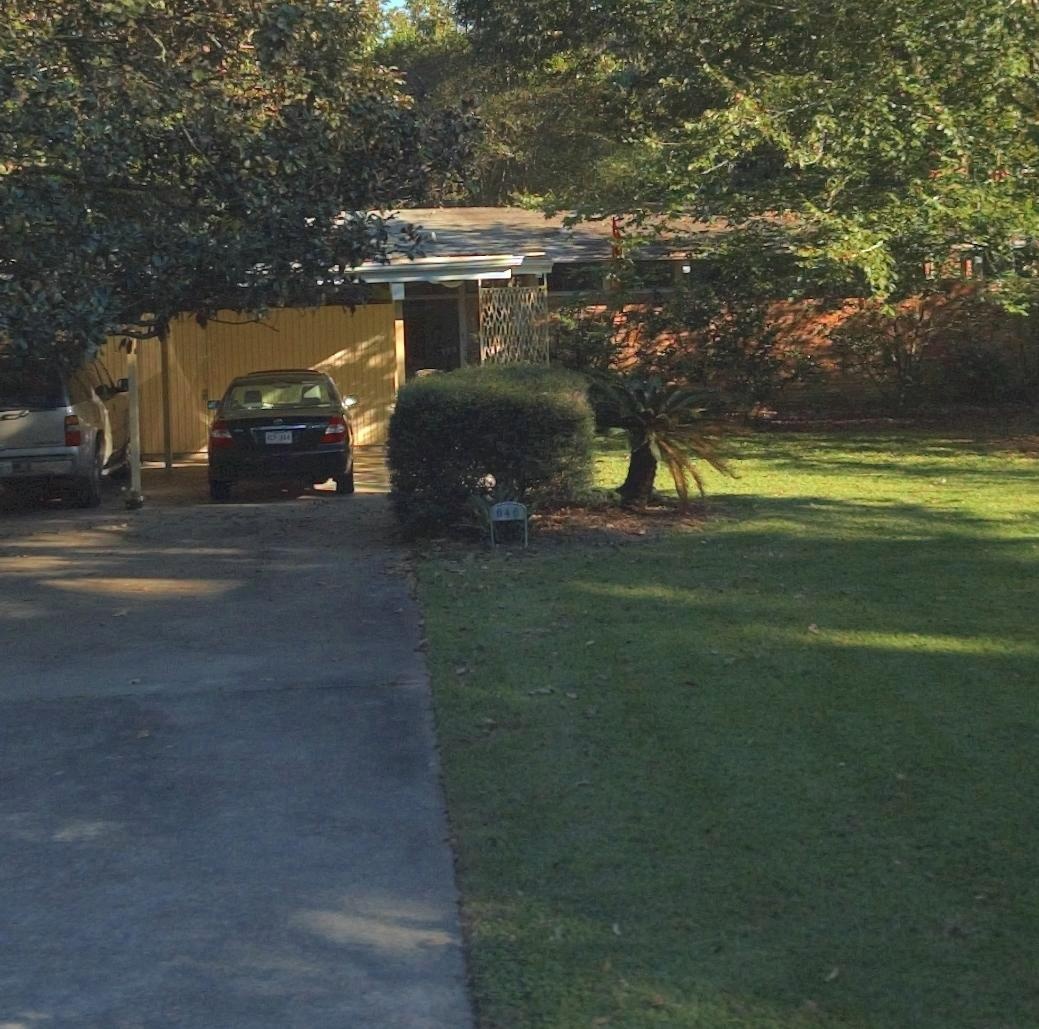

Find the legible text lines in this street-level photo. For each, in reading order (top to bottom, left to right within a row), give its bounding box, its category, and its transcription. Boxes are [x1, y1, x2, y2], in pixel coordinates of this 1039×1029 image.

[494, 506, 521, 520] StreetNumber: 646